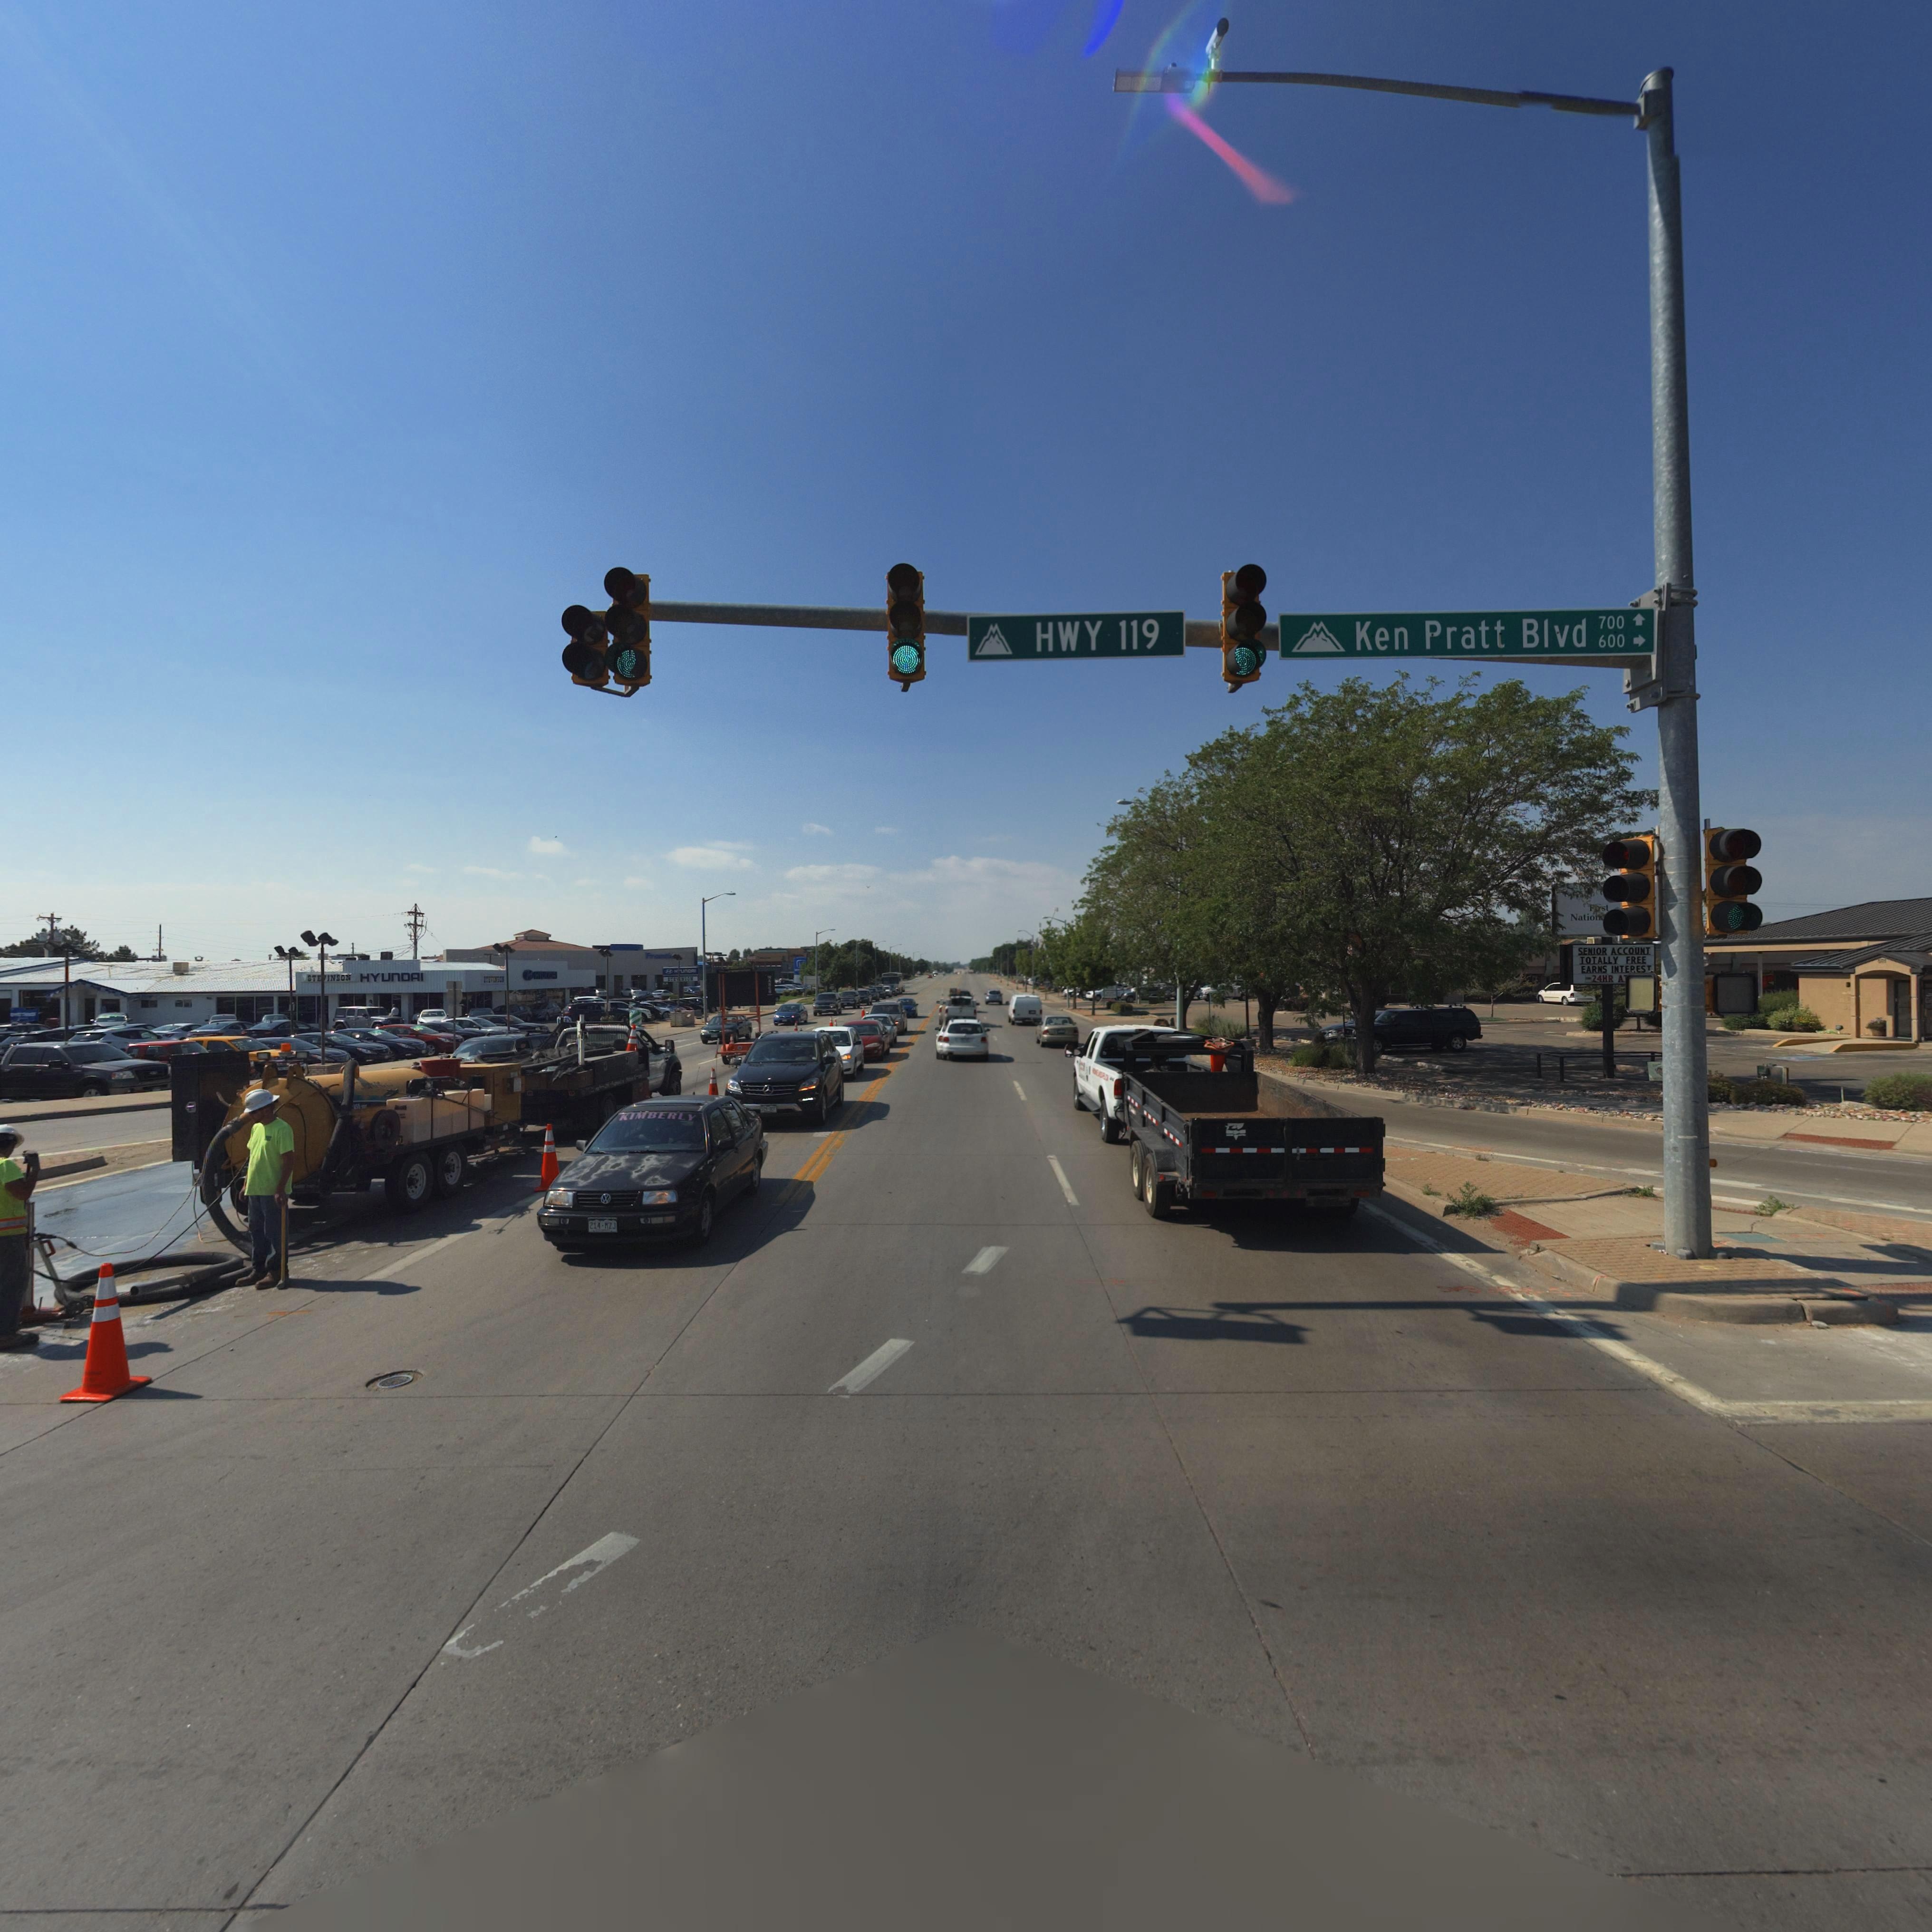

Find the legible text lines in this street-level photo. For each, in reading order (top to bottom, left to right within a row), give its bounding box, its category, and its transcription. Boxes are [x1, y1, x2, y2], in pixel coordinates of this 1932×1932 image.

[1598, 615, 1625, 630] StreetNumberRange: 700
[1035, 617, 1160, 653] StreetName: HWY 119
[1354, 617, 1587, 652] StreetName: Ken Pratt Blvd
[1597, 633, 1647, 648] StreetNumberRange: 600->
[1589, 904, 1609, 911] BusinessName: F*rst
[1570, 913, 1603, 921] BusinessName: Natio*
[645, 952, 673, 959] BusinessName: Fro*****
[307, 974, 351, 982] BusinessName: *TE*INSON
[359, 972, 424, 982] BusinessName: HYUnDAI
[483, 976, 505, 983] BusinessName: STEVI****
[533, 971, 558, 979] BusinessName: HYUnDAI
[667, 976, 693, 981] BusinessName: **E**N*ON
[674, 968, 696, 974] BusinessName: H*UnDAI